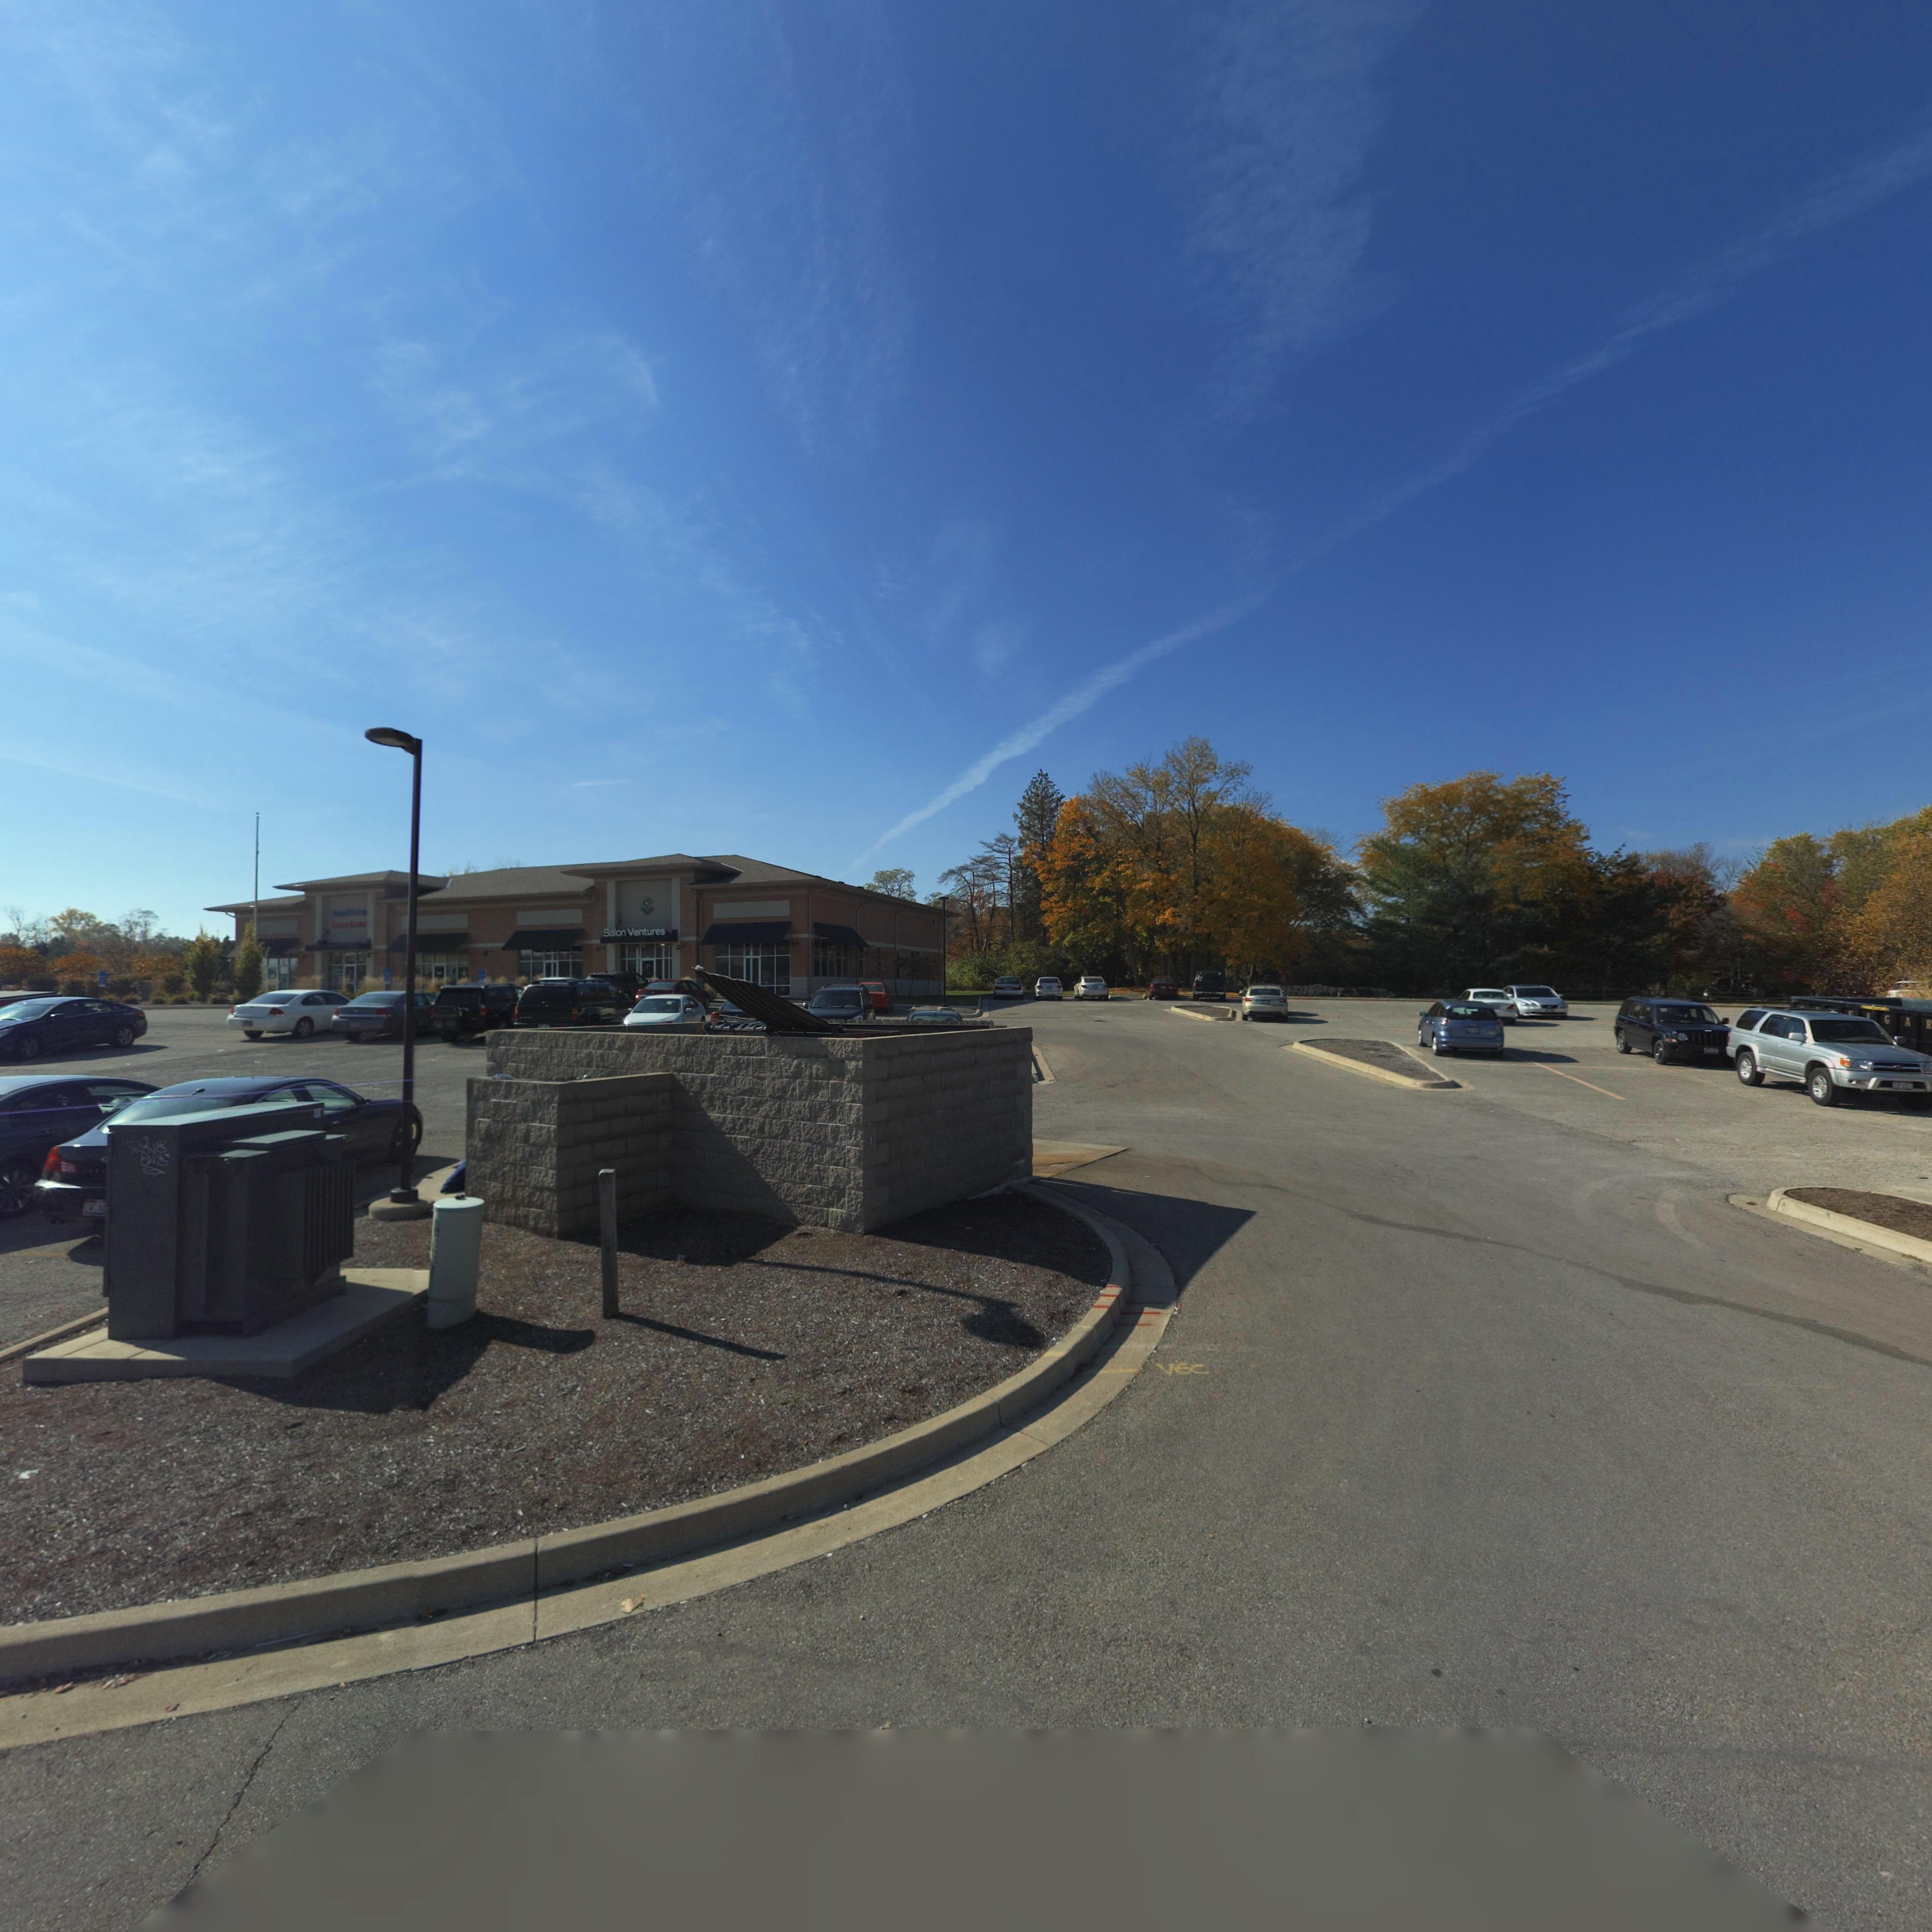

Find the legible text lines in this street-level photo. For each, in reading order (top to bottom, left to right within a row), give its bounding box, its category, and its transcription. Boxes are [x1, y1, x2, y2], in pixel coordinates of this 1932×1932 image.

[602, 926, 667, 938] BusinessName: Salon Ventures